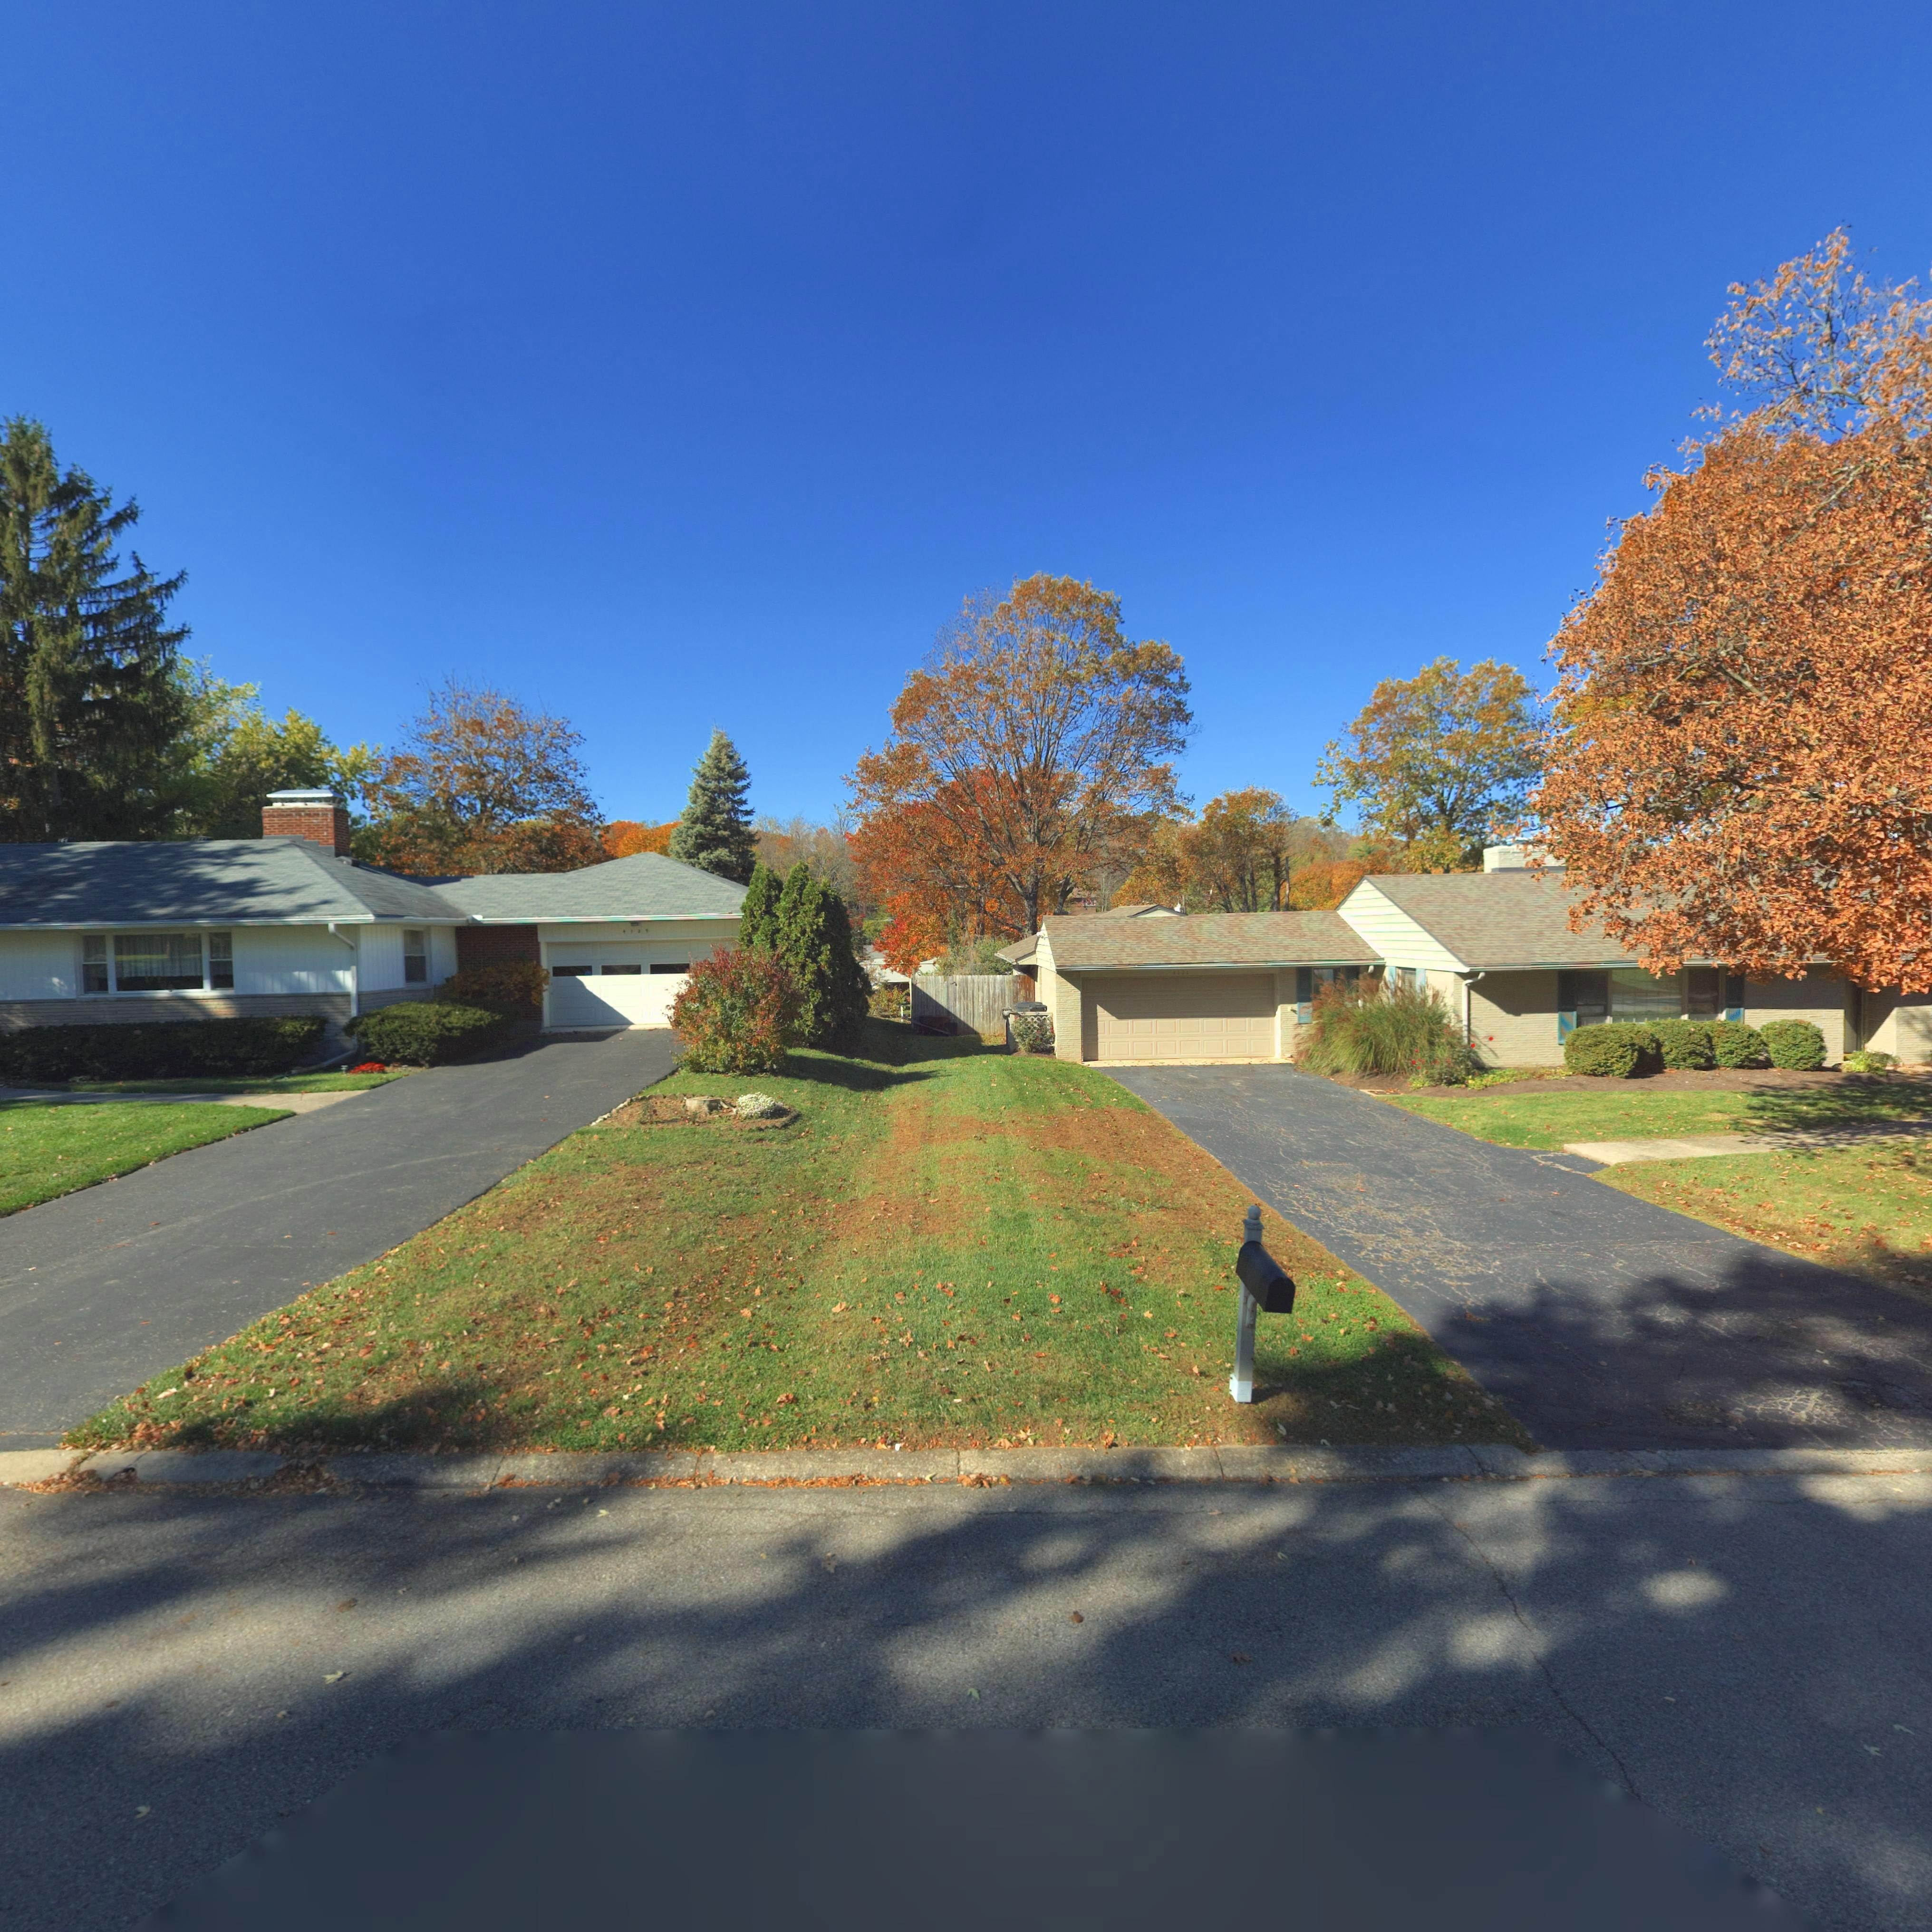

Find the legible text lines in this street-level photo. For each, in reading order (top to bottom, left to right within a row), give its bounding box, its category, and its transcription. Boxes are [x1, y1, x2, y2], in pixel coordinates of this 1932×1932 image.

[622, 927, 650, 935] StreetNumber: *1*9